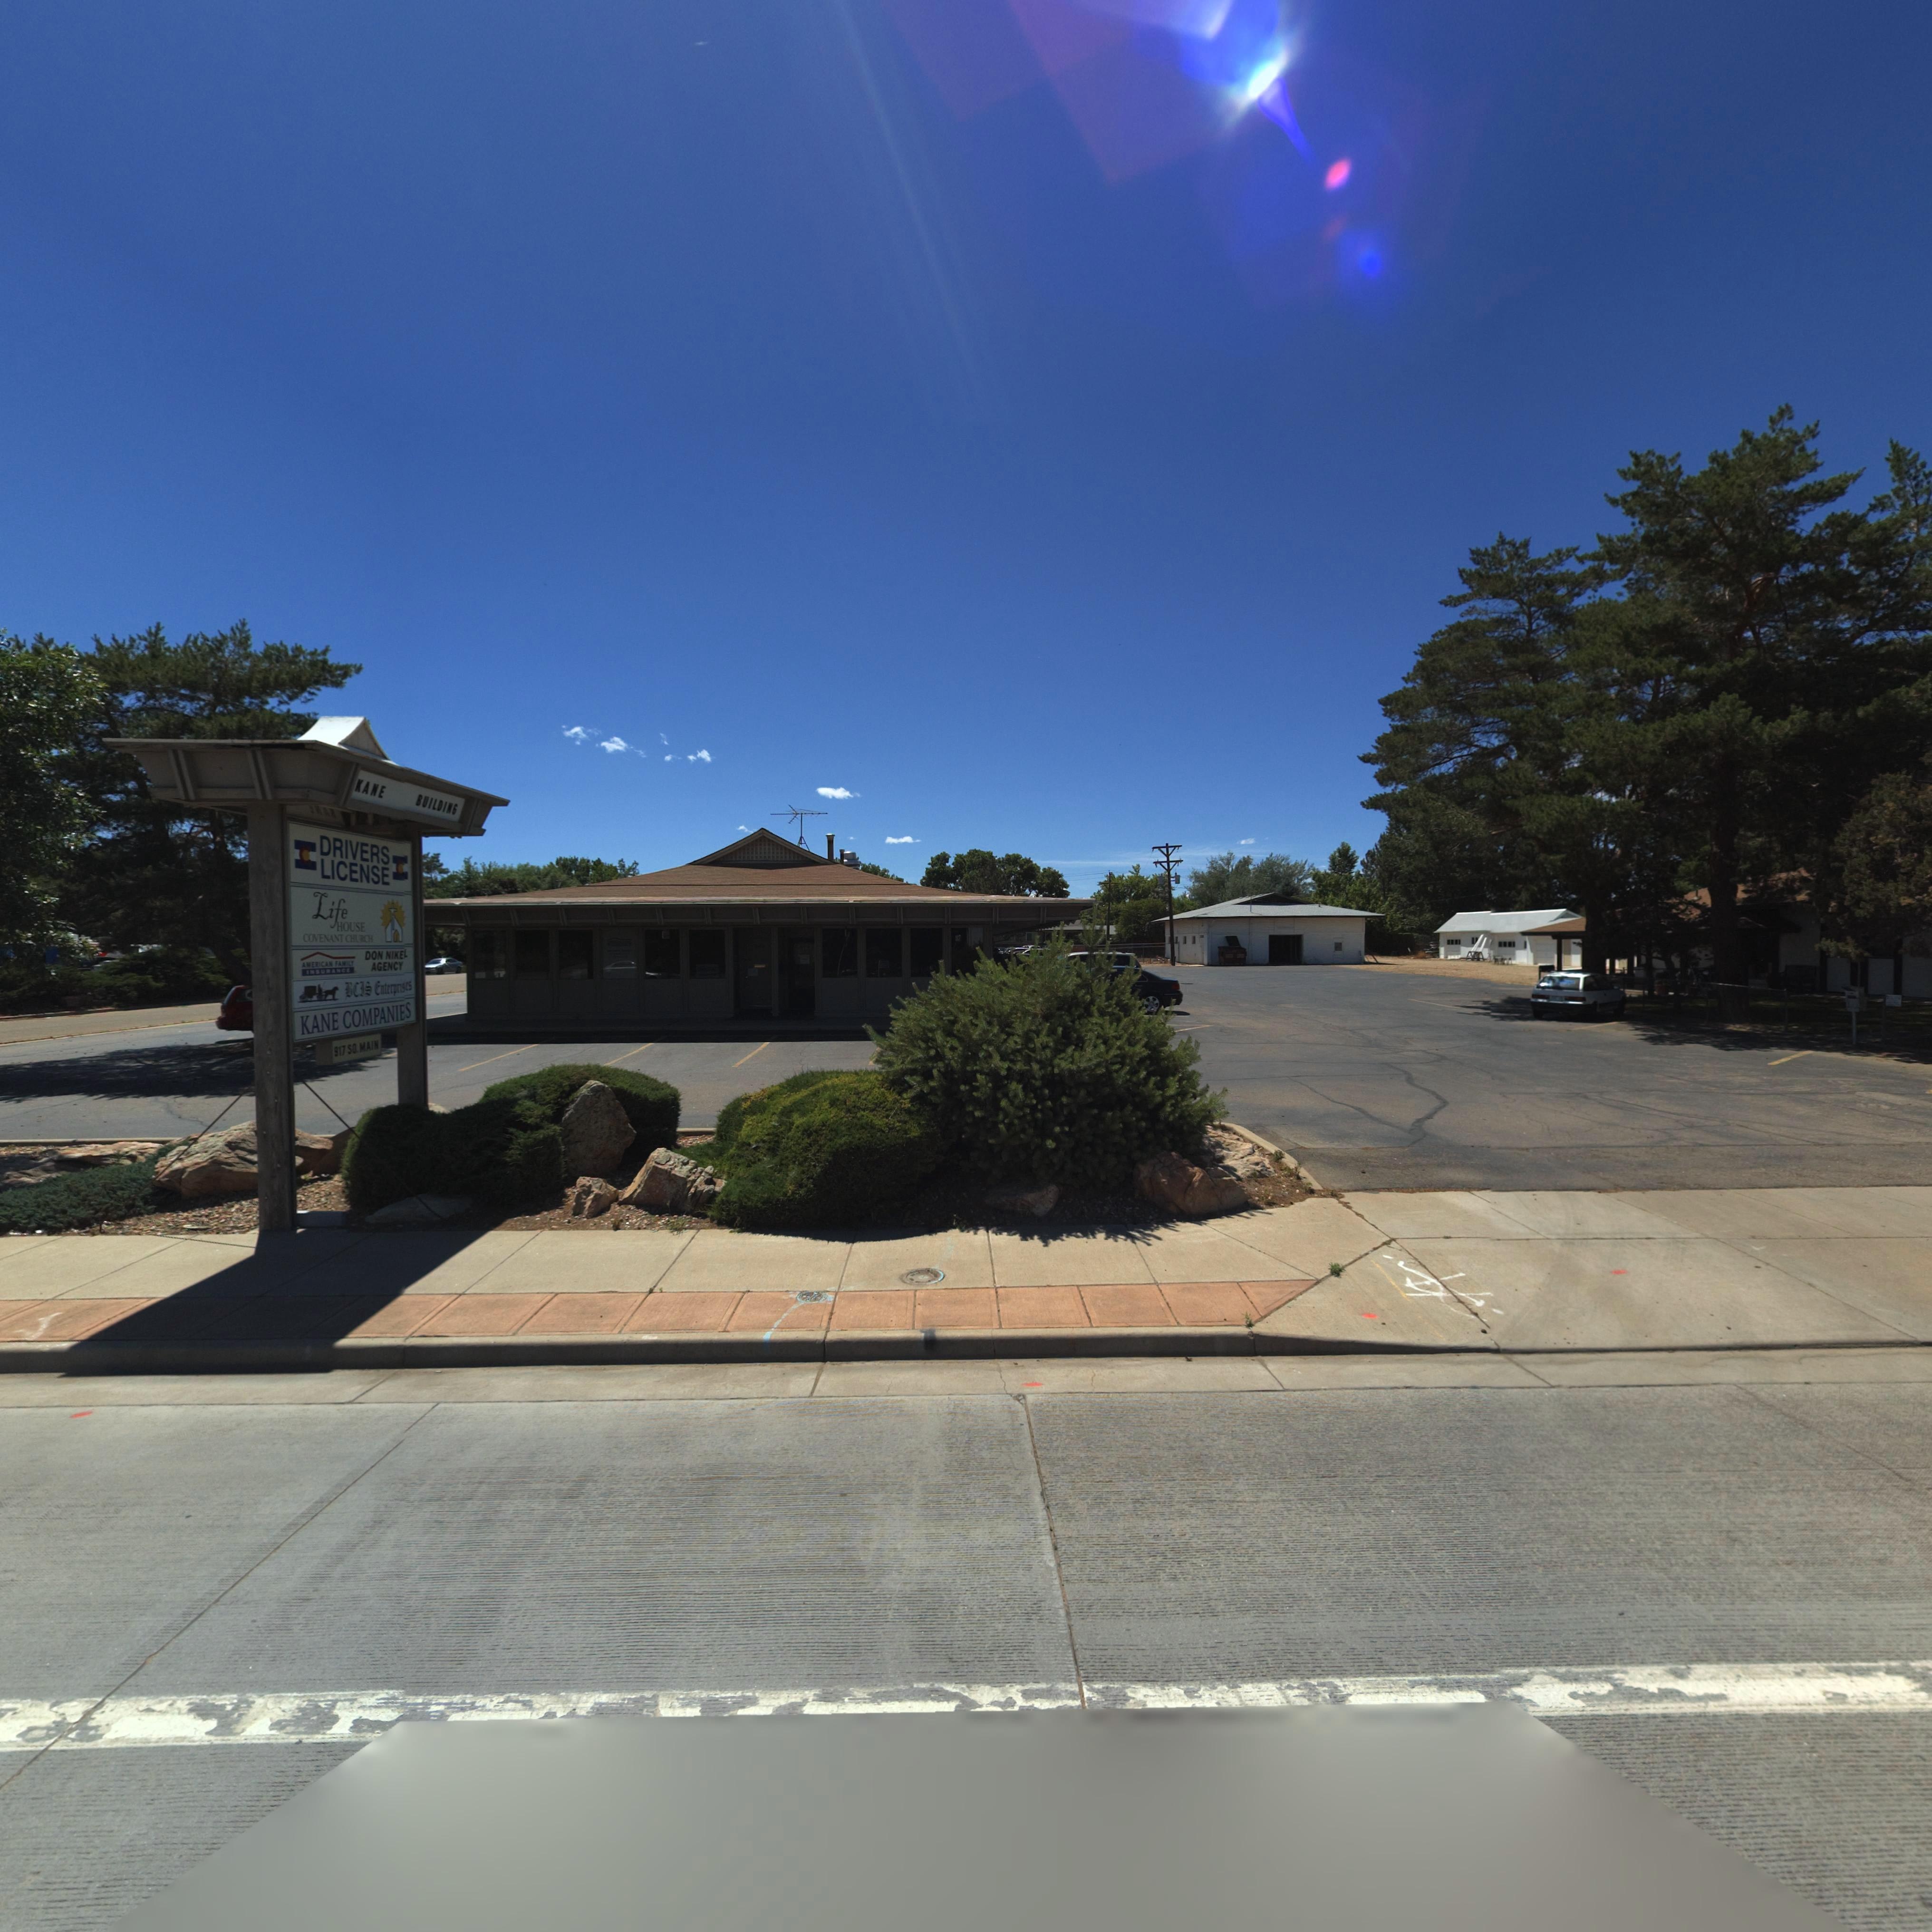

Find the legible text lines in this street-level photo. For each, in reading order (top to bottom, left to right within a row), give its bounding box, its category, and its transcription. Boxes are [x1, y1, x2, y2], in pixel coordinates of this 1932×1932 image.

[310, 892, 348, 919] BusinessName: Life
[336, 921, 366, 932] BusinessName: HOUSE
[303, 933, 373, 943] BusinessName: COVENANT CHURCH
[300, 960, 354, 968] BusinessName: AMERICAN FAMILY
[306, 967, 350, 975] BusinessName: INSURANCE
[344, 979, 413, 998] BusinessName: BCIS Enterprises
[333, 1044, 346, 1057] StreetNumber: 917
[347, 1039, 378, 1055] StreetName: SO. MAIN